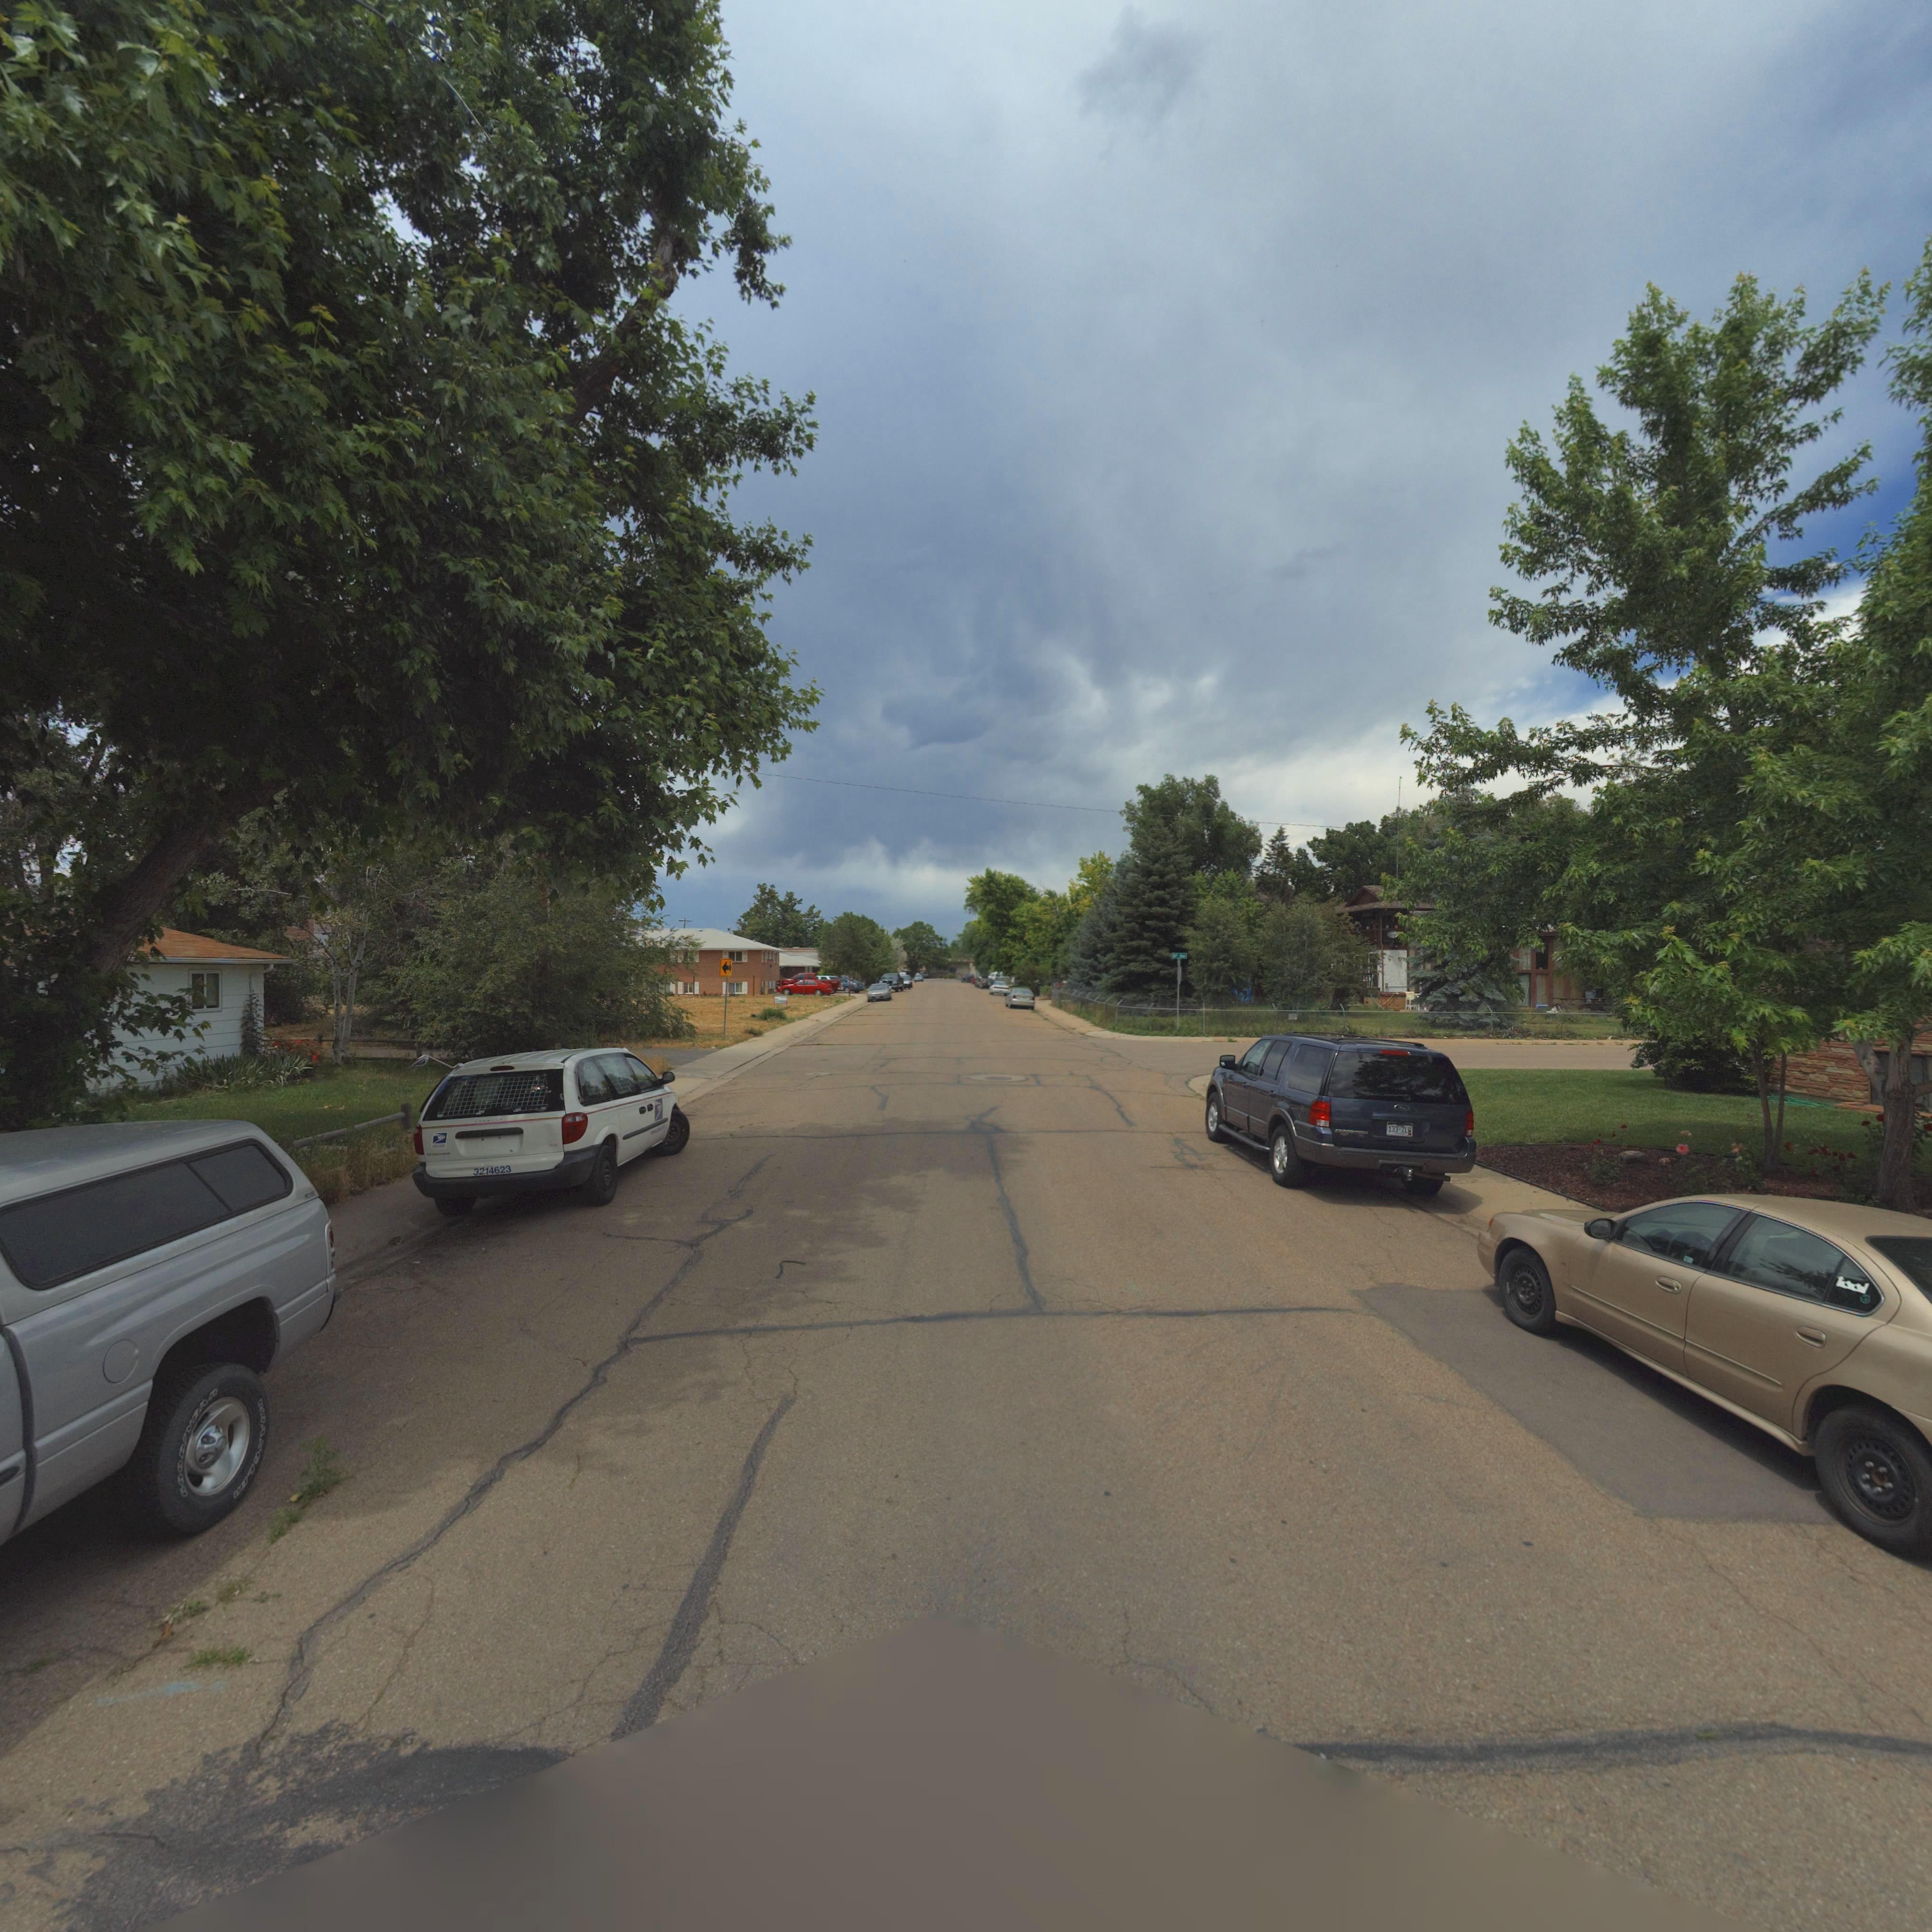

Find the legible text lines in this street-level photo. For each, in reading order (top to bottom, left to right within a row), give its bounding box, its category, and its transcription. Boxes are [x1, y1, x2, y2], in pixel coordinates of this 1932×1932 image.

[1171, 953, 1186, 958] StreetName: **** A**